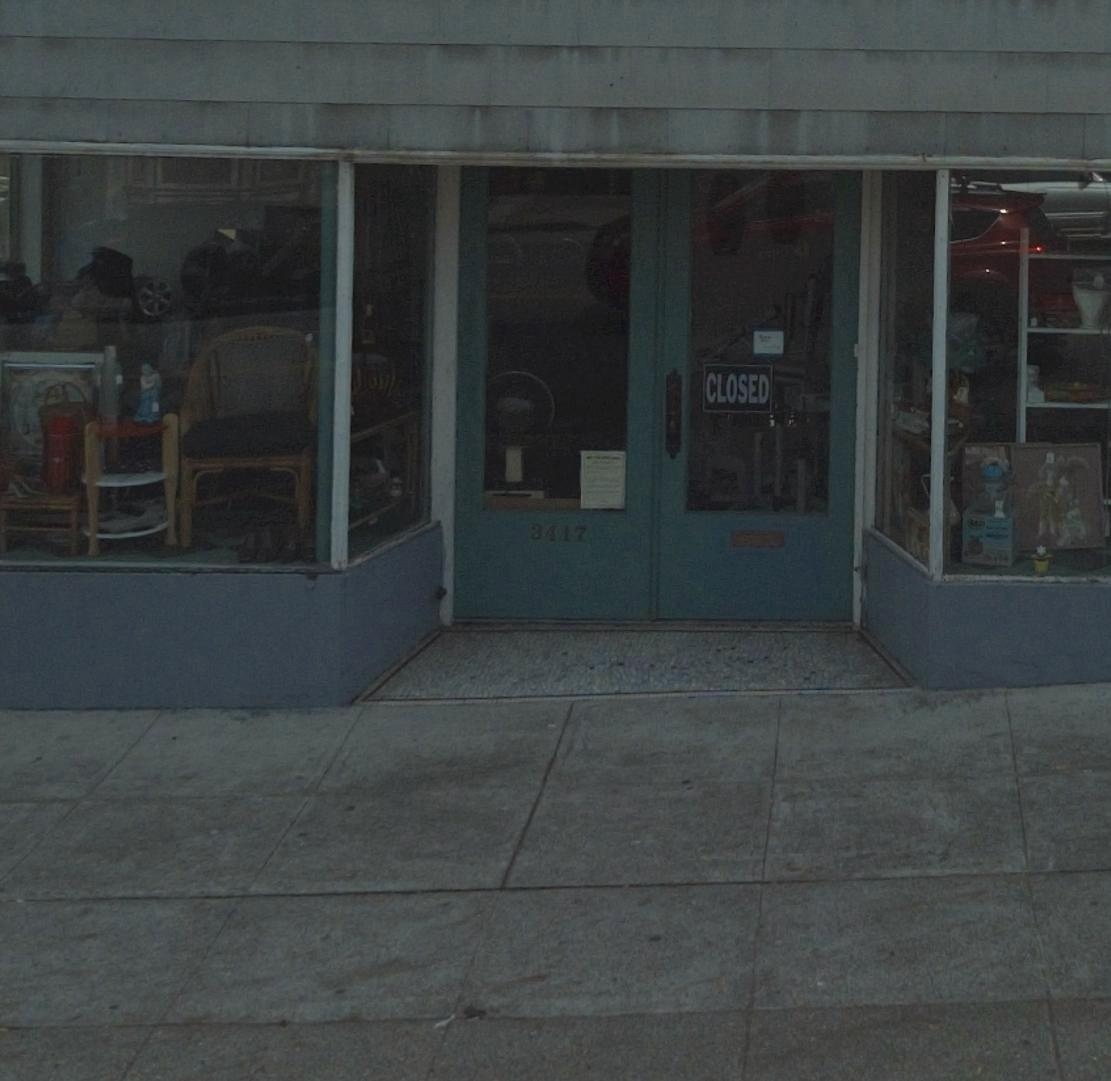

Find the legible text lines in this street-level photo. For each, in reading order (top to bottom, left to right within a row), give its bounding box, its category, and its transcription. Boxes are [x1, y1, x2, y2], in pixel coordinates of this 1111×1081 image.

[705, 372, 770, 404] None: CLOSED
[528, 522, 587, 543] StreetNumber: 3417